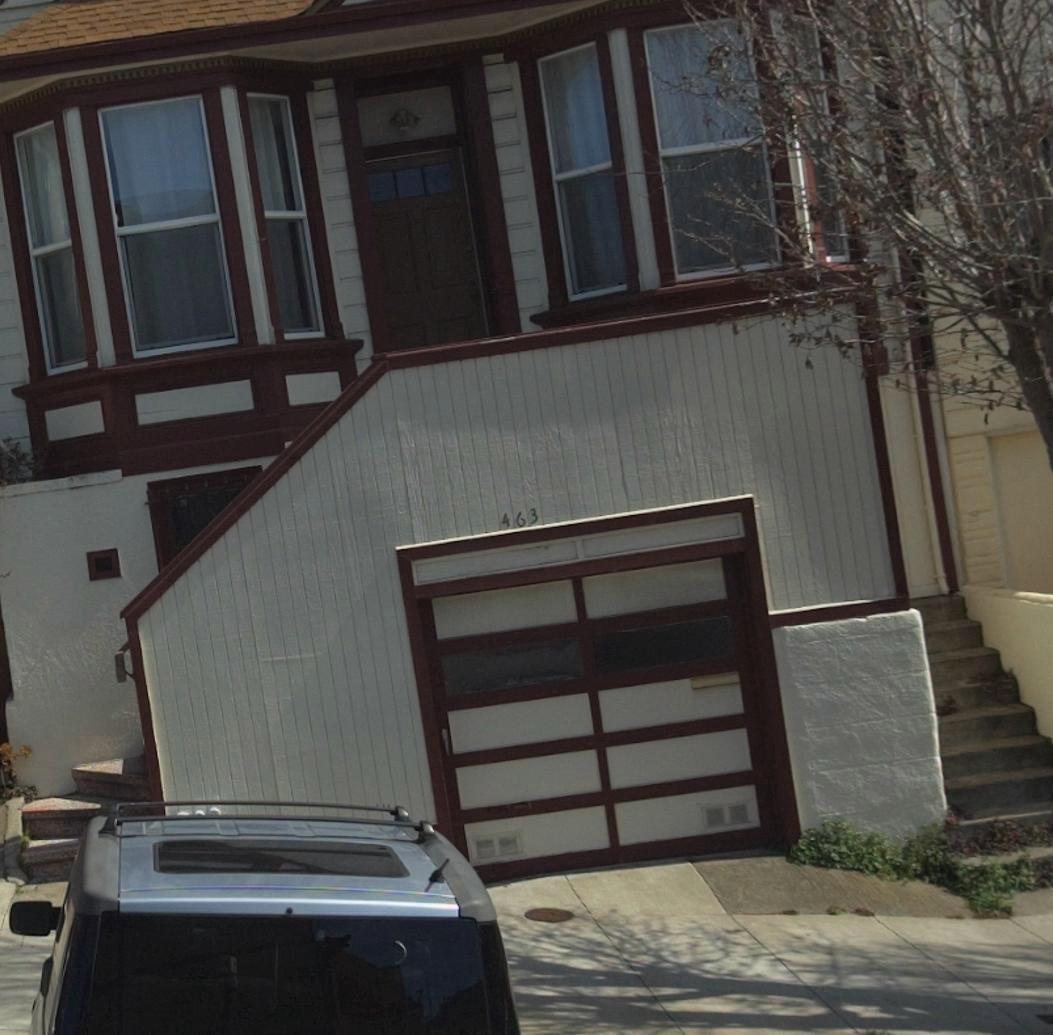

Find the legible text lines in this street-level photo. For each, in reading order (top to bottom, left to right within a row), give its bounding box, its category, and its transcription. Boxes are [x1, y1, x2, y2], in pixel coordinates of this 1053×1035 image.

[498, 506, 541, 531] StreetNumber: 463